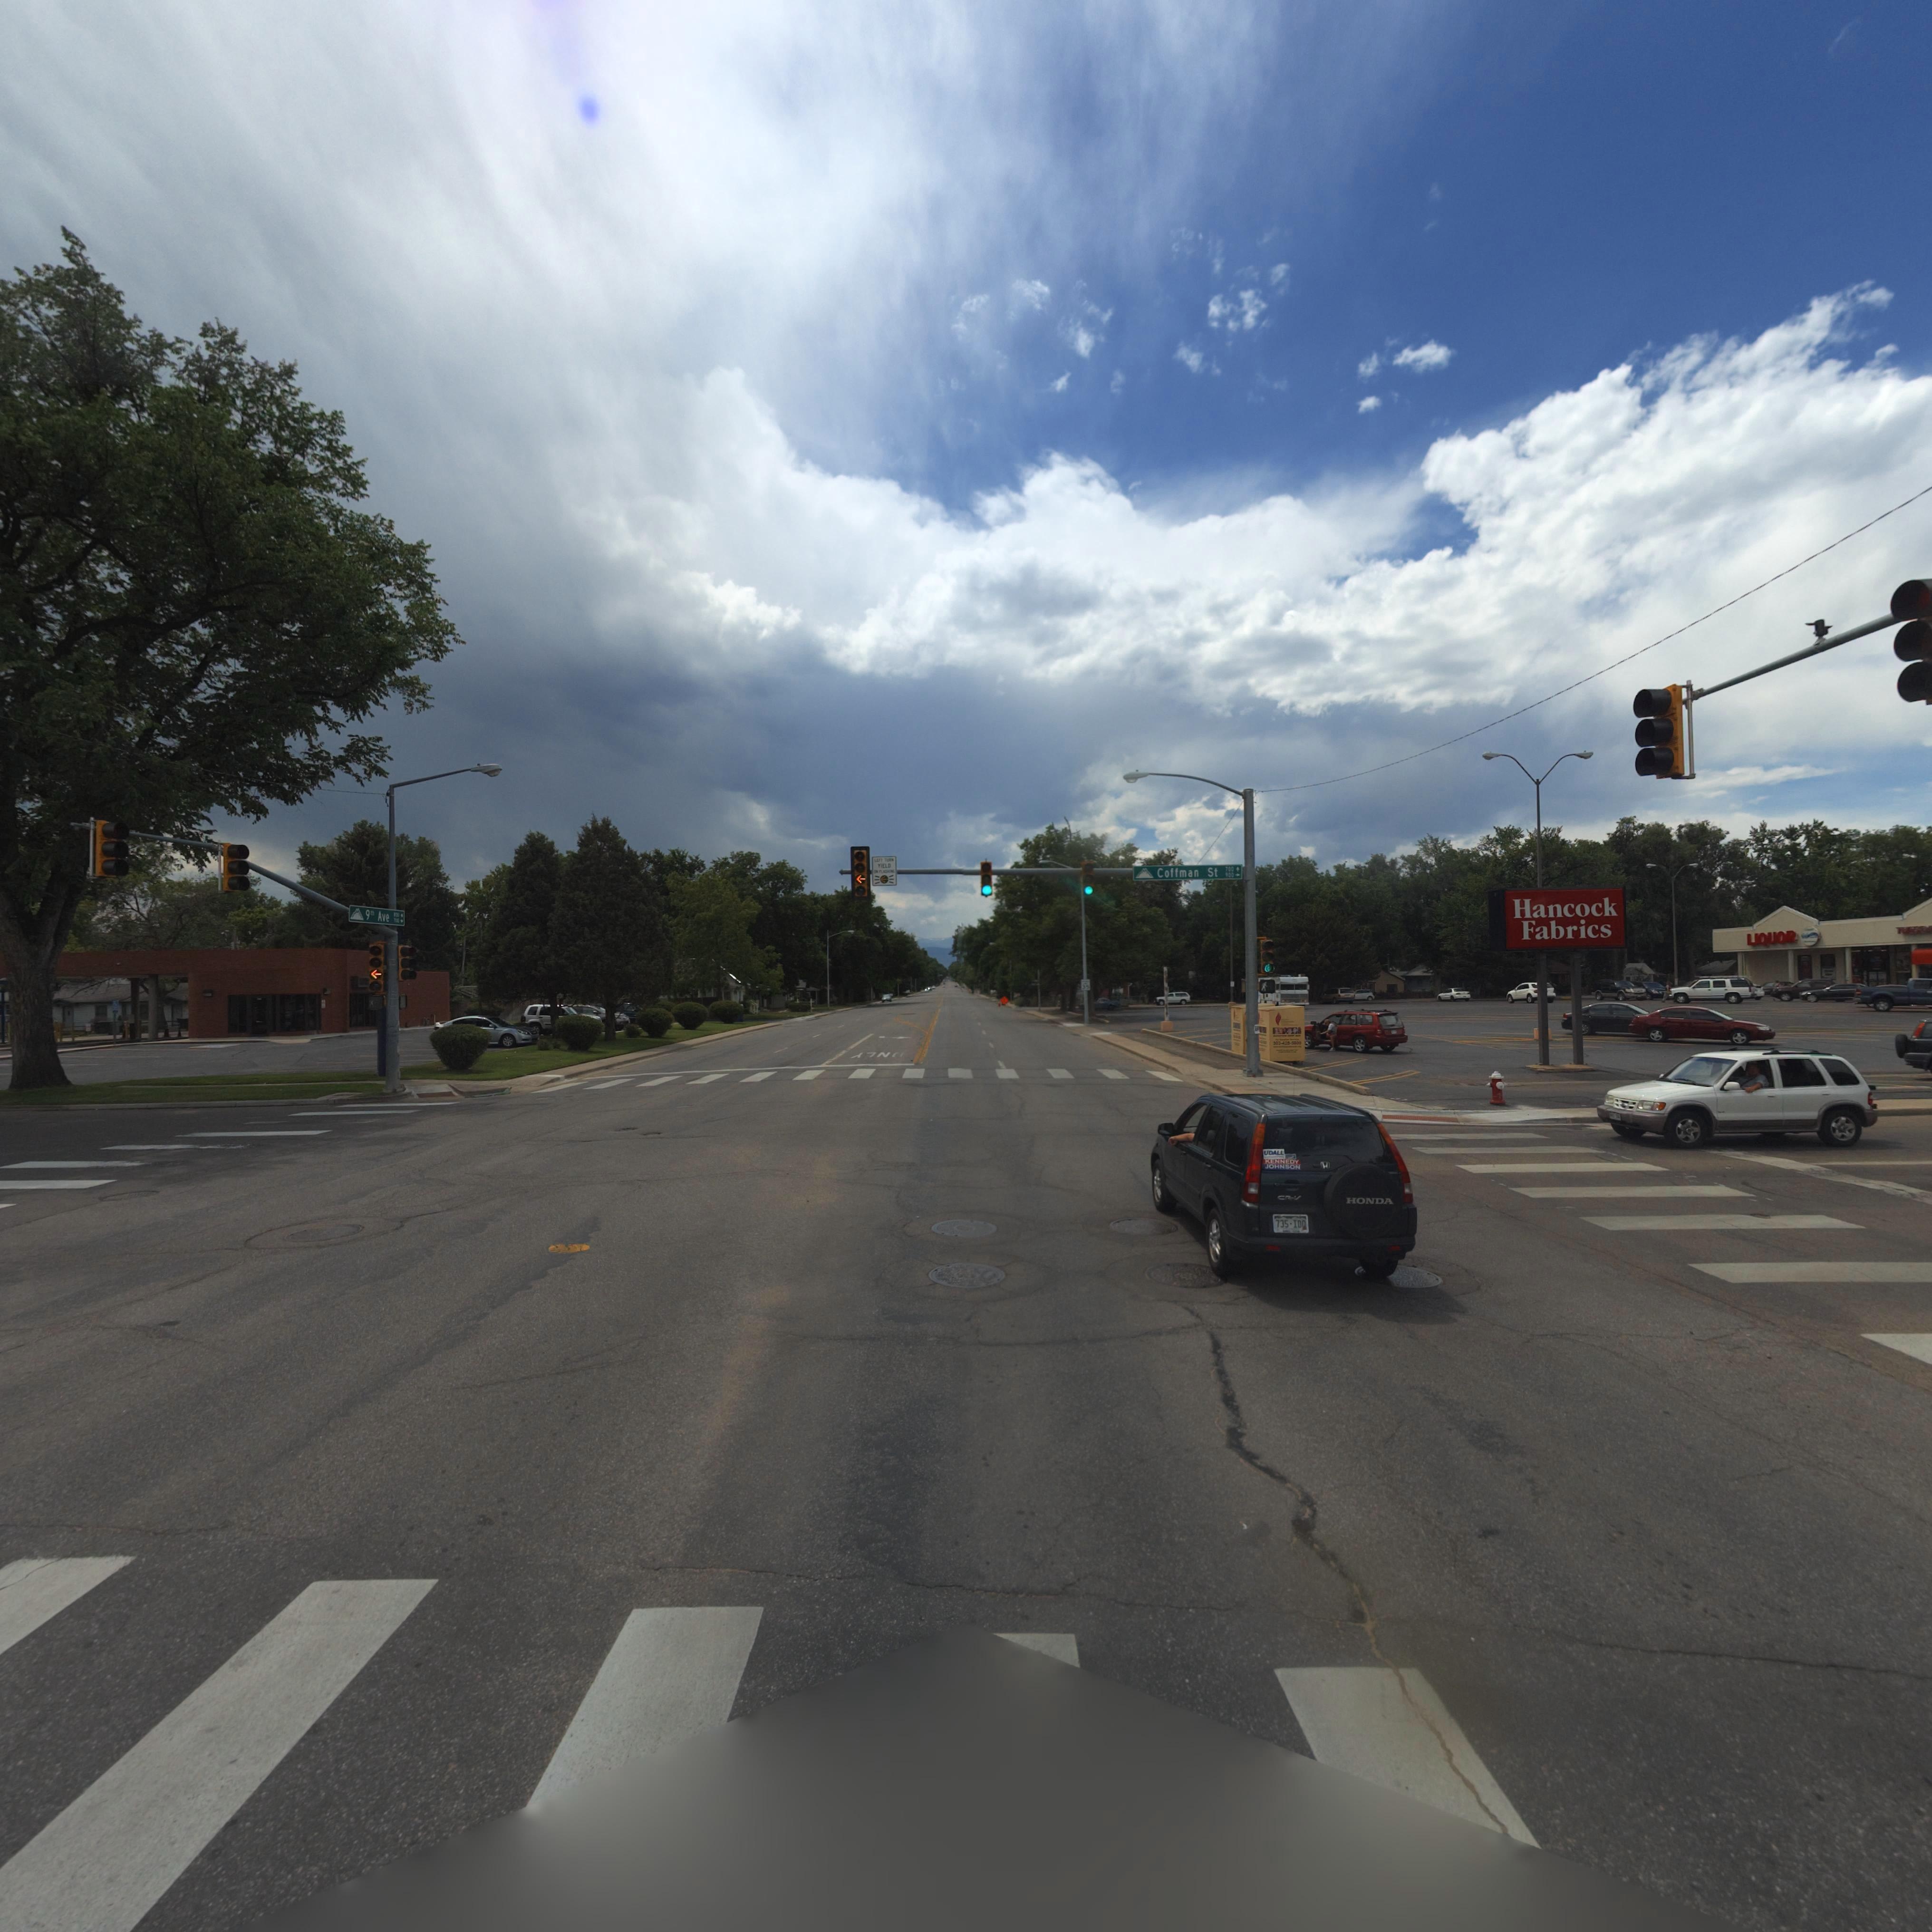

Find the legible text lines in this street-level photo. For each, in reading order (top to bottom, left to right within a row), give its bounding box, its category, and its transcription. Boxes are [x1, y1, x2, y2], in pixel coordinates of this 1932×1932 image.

[1225, 866, 1234, 871] StreetNumberRange: 700
[1157, 867, 1218, 877] StreetName: Coffman St
[1225, 872, 1240, 878] StreetNumberRange: 900->
[365, 909, 389, 922] StreetName: 9th Ave
[394, 917, 403, 923] StreetNumberRange: 700->